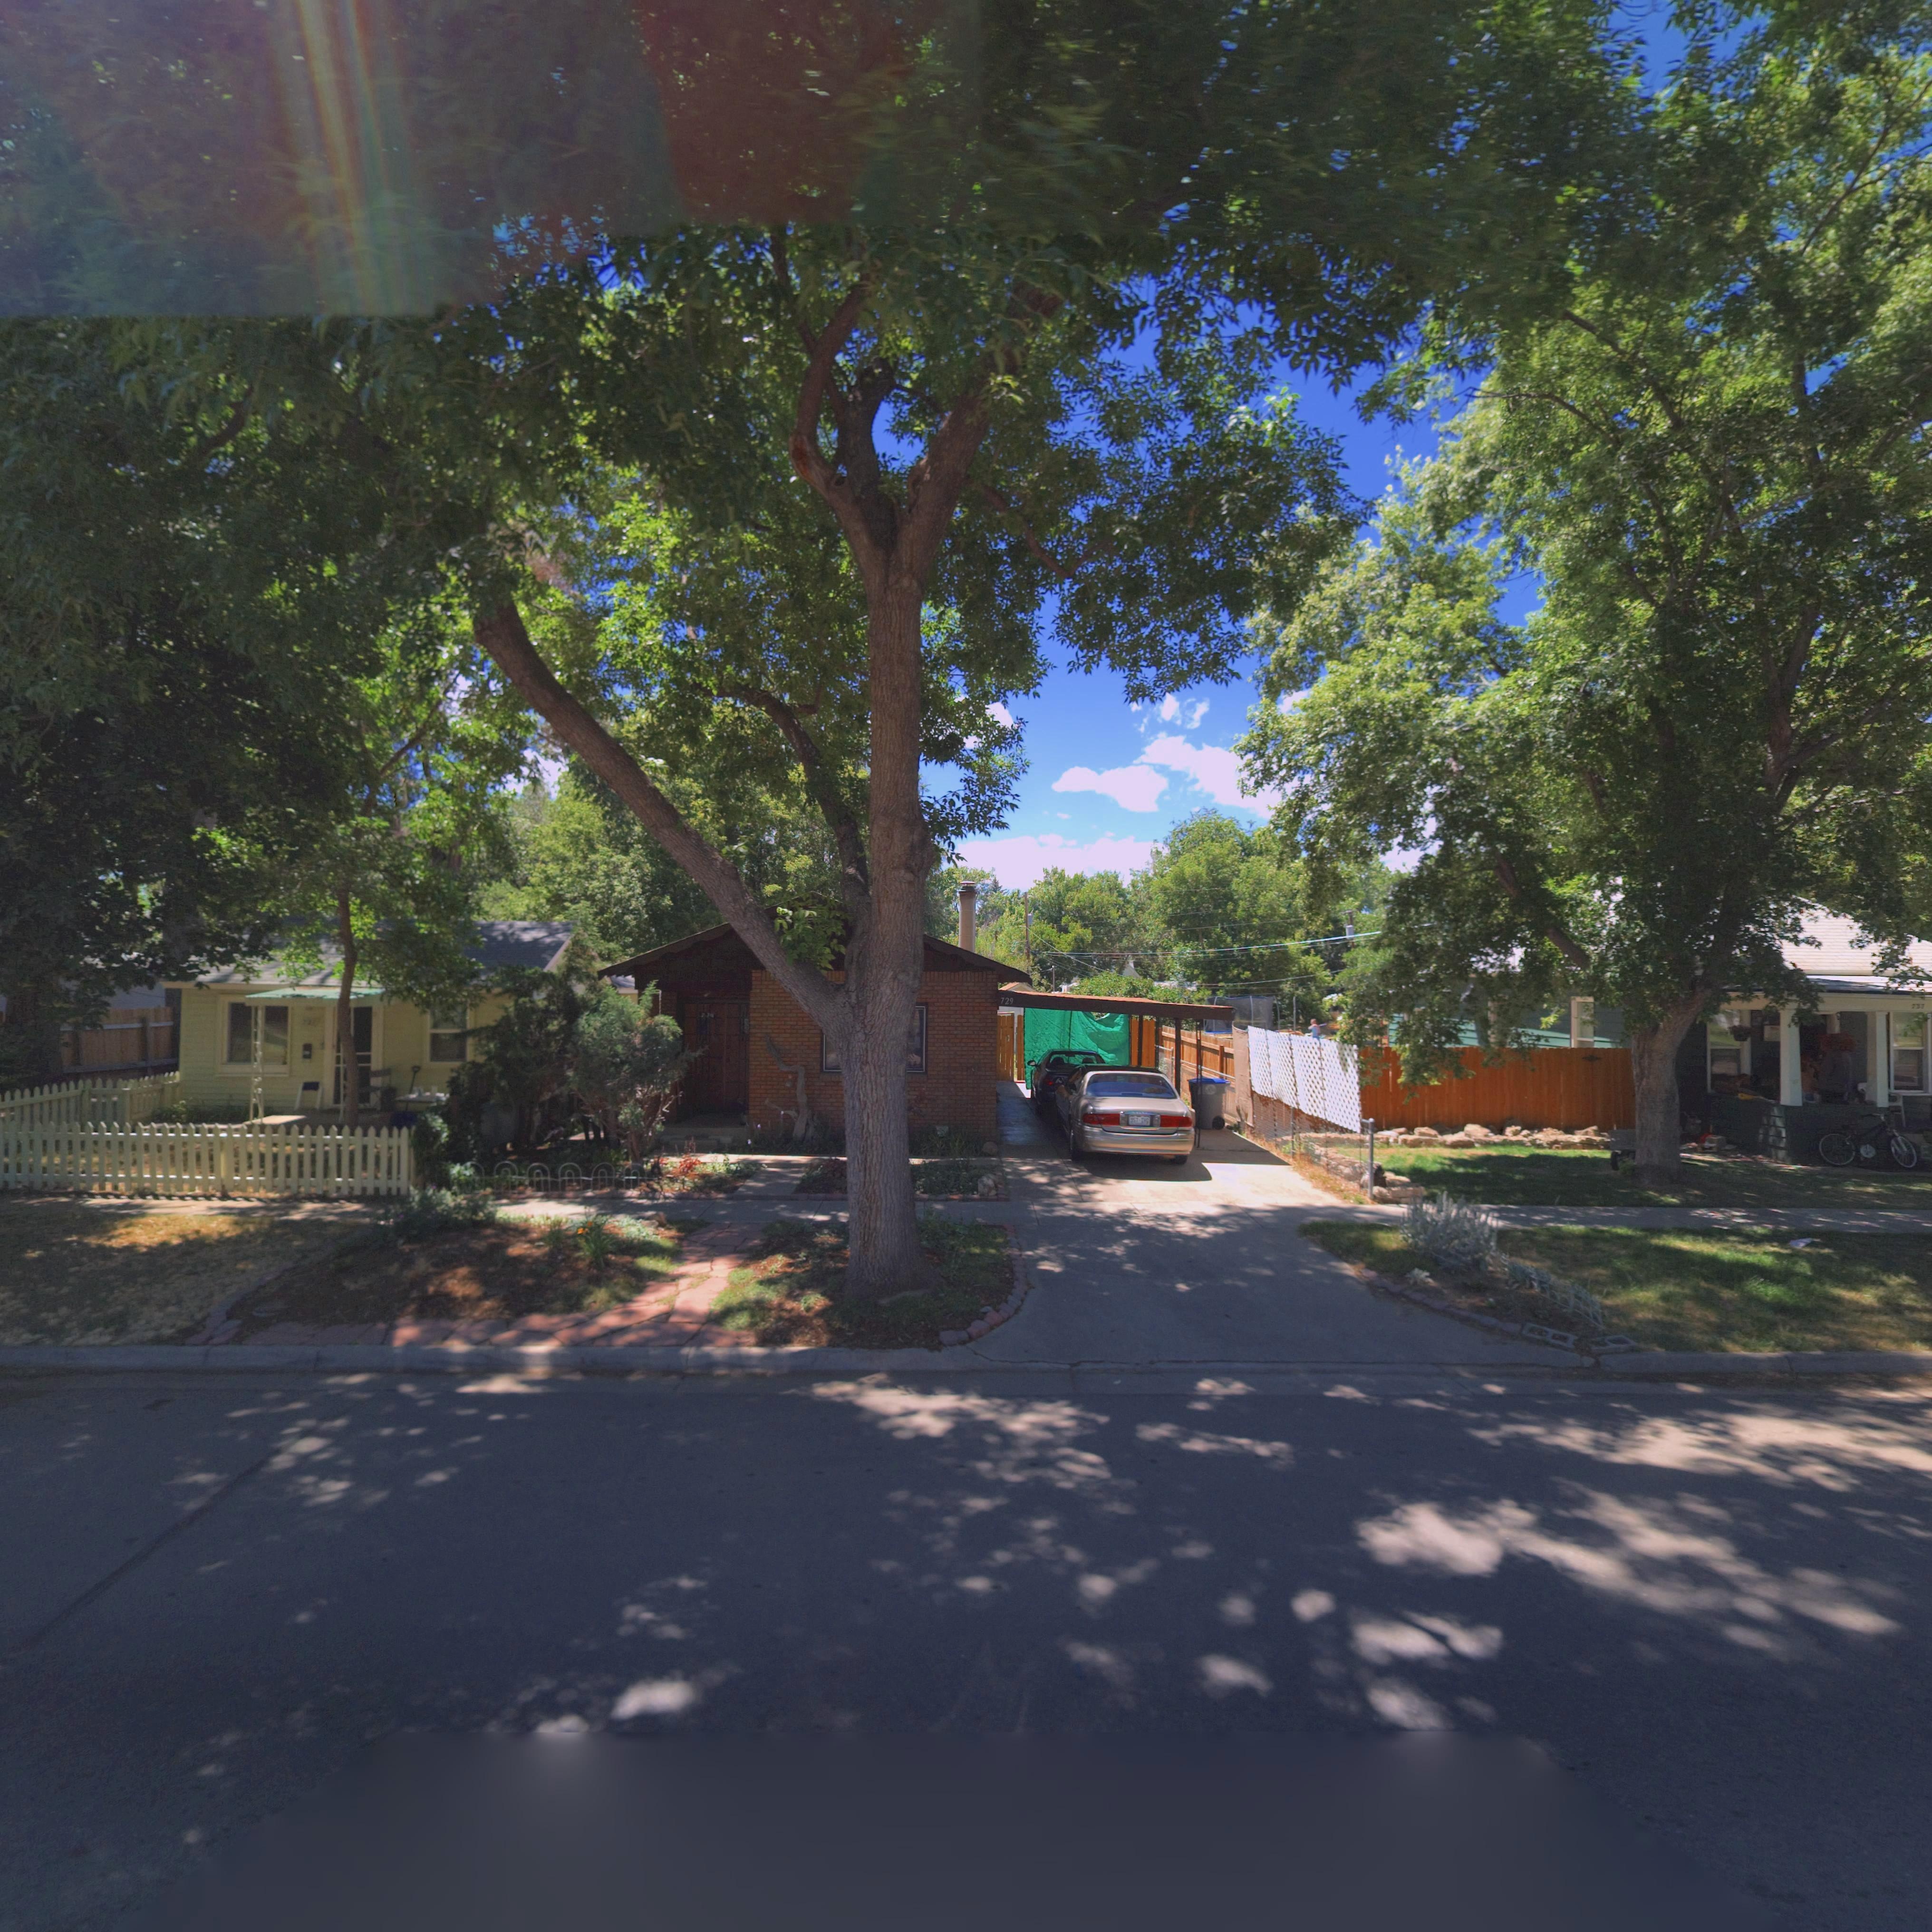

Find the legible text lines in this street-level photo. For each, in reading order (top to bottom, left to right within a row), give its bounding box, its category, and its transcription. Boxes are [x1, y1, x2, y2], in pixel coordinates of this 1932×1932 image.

[1910, 1003, 1925, 1009] StreetNumber: 73*